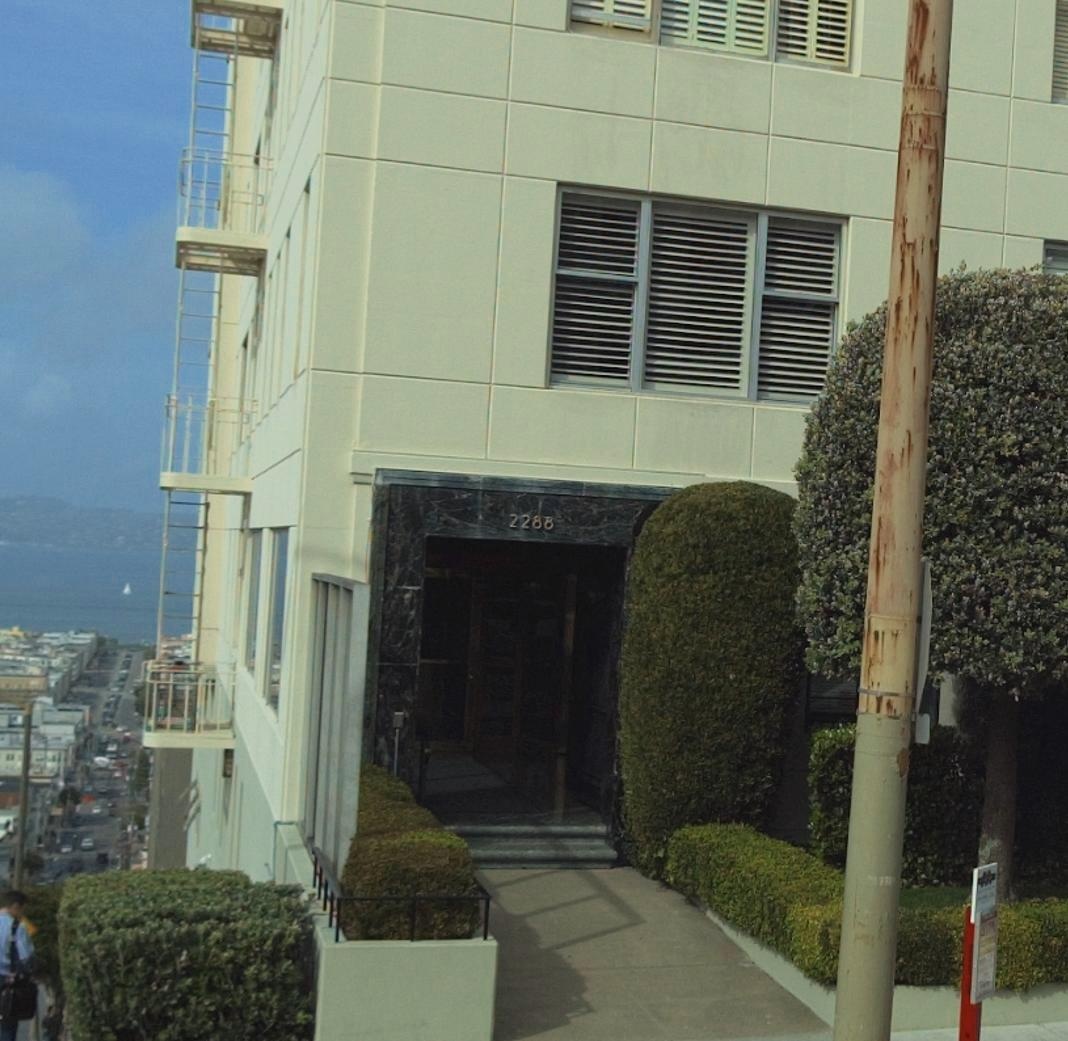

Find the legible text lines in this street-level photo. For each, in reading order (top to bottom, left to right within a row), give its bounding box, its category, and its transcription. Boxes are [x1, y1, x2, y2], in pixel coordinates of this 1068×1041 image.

[507, 511, 556, 533] StreetNumber: 2288